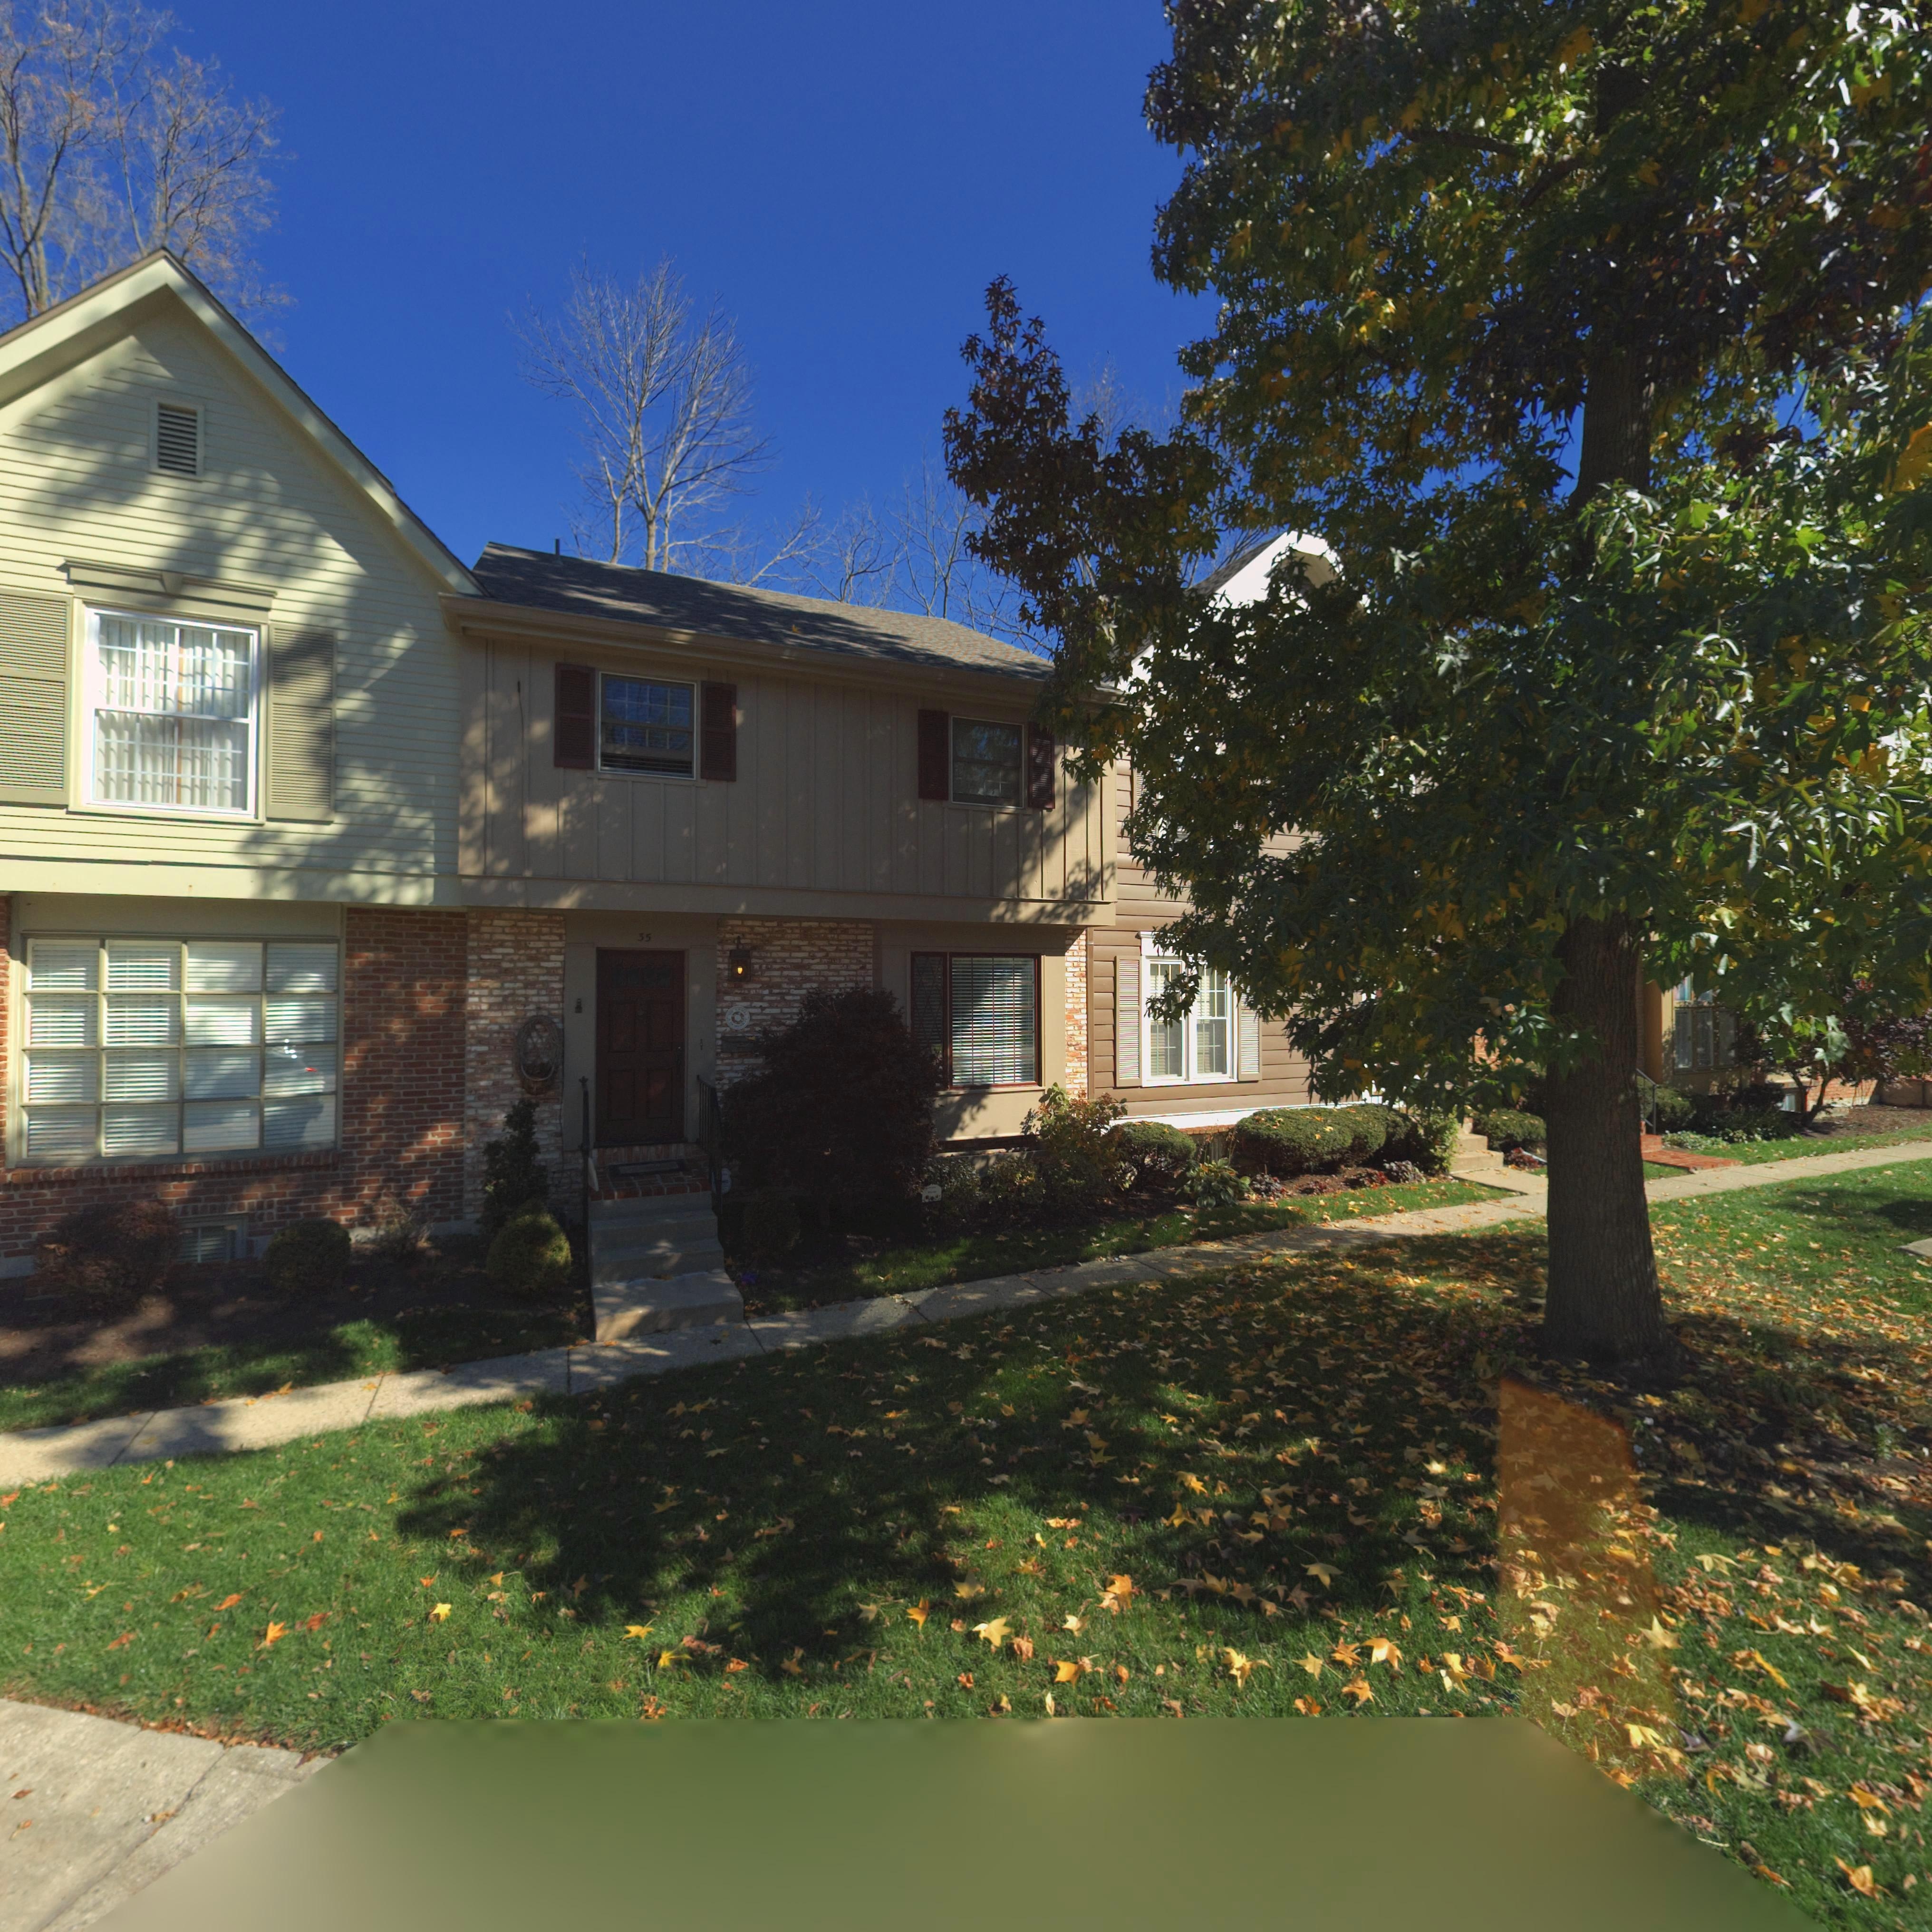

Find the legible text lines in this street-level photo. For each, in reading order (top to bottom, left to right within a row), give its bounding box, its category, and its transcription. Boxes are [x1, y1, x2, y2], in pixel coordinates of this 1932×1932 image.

[636, 932, 652, 942] StreetNumber: 35